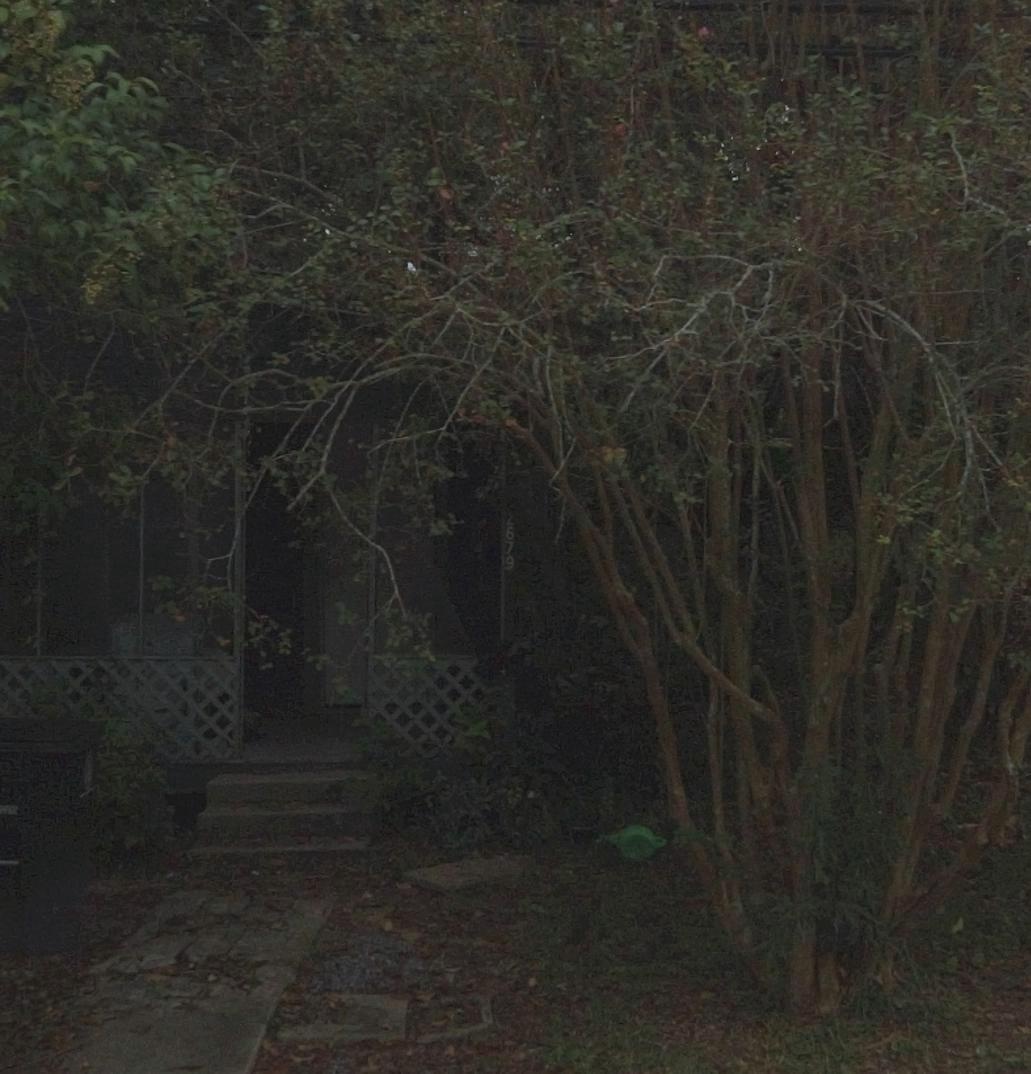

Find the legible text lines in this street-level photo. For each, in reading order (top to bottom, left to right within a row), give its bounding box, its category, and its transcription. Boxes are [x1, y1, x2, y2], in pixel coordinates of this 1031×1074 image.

[505, 510, 516, 572] StreetNumber: 2679